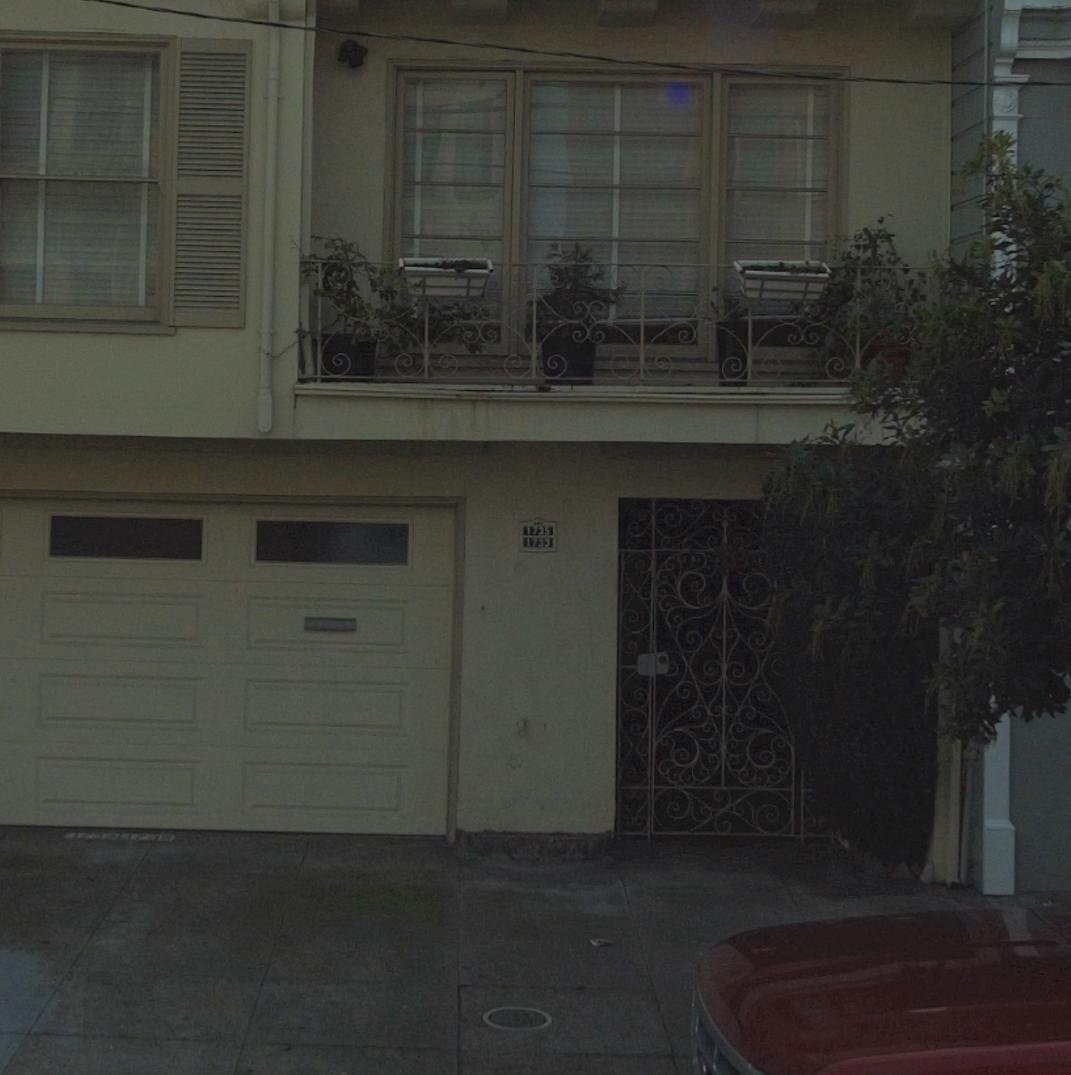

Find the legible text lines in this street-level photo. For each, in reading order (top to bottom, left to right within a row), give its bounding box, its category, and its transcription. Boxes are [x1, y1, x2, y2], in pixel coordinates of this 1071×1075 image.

[525, 524, 552, 538] StreetNumber: 1735
[525, 536, 552, 550] None: 1733